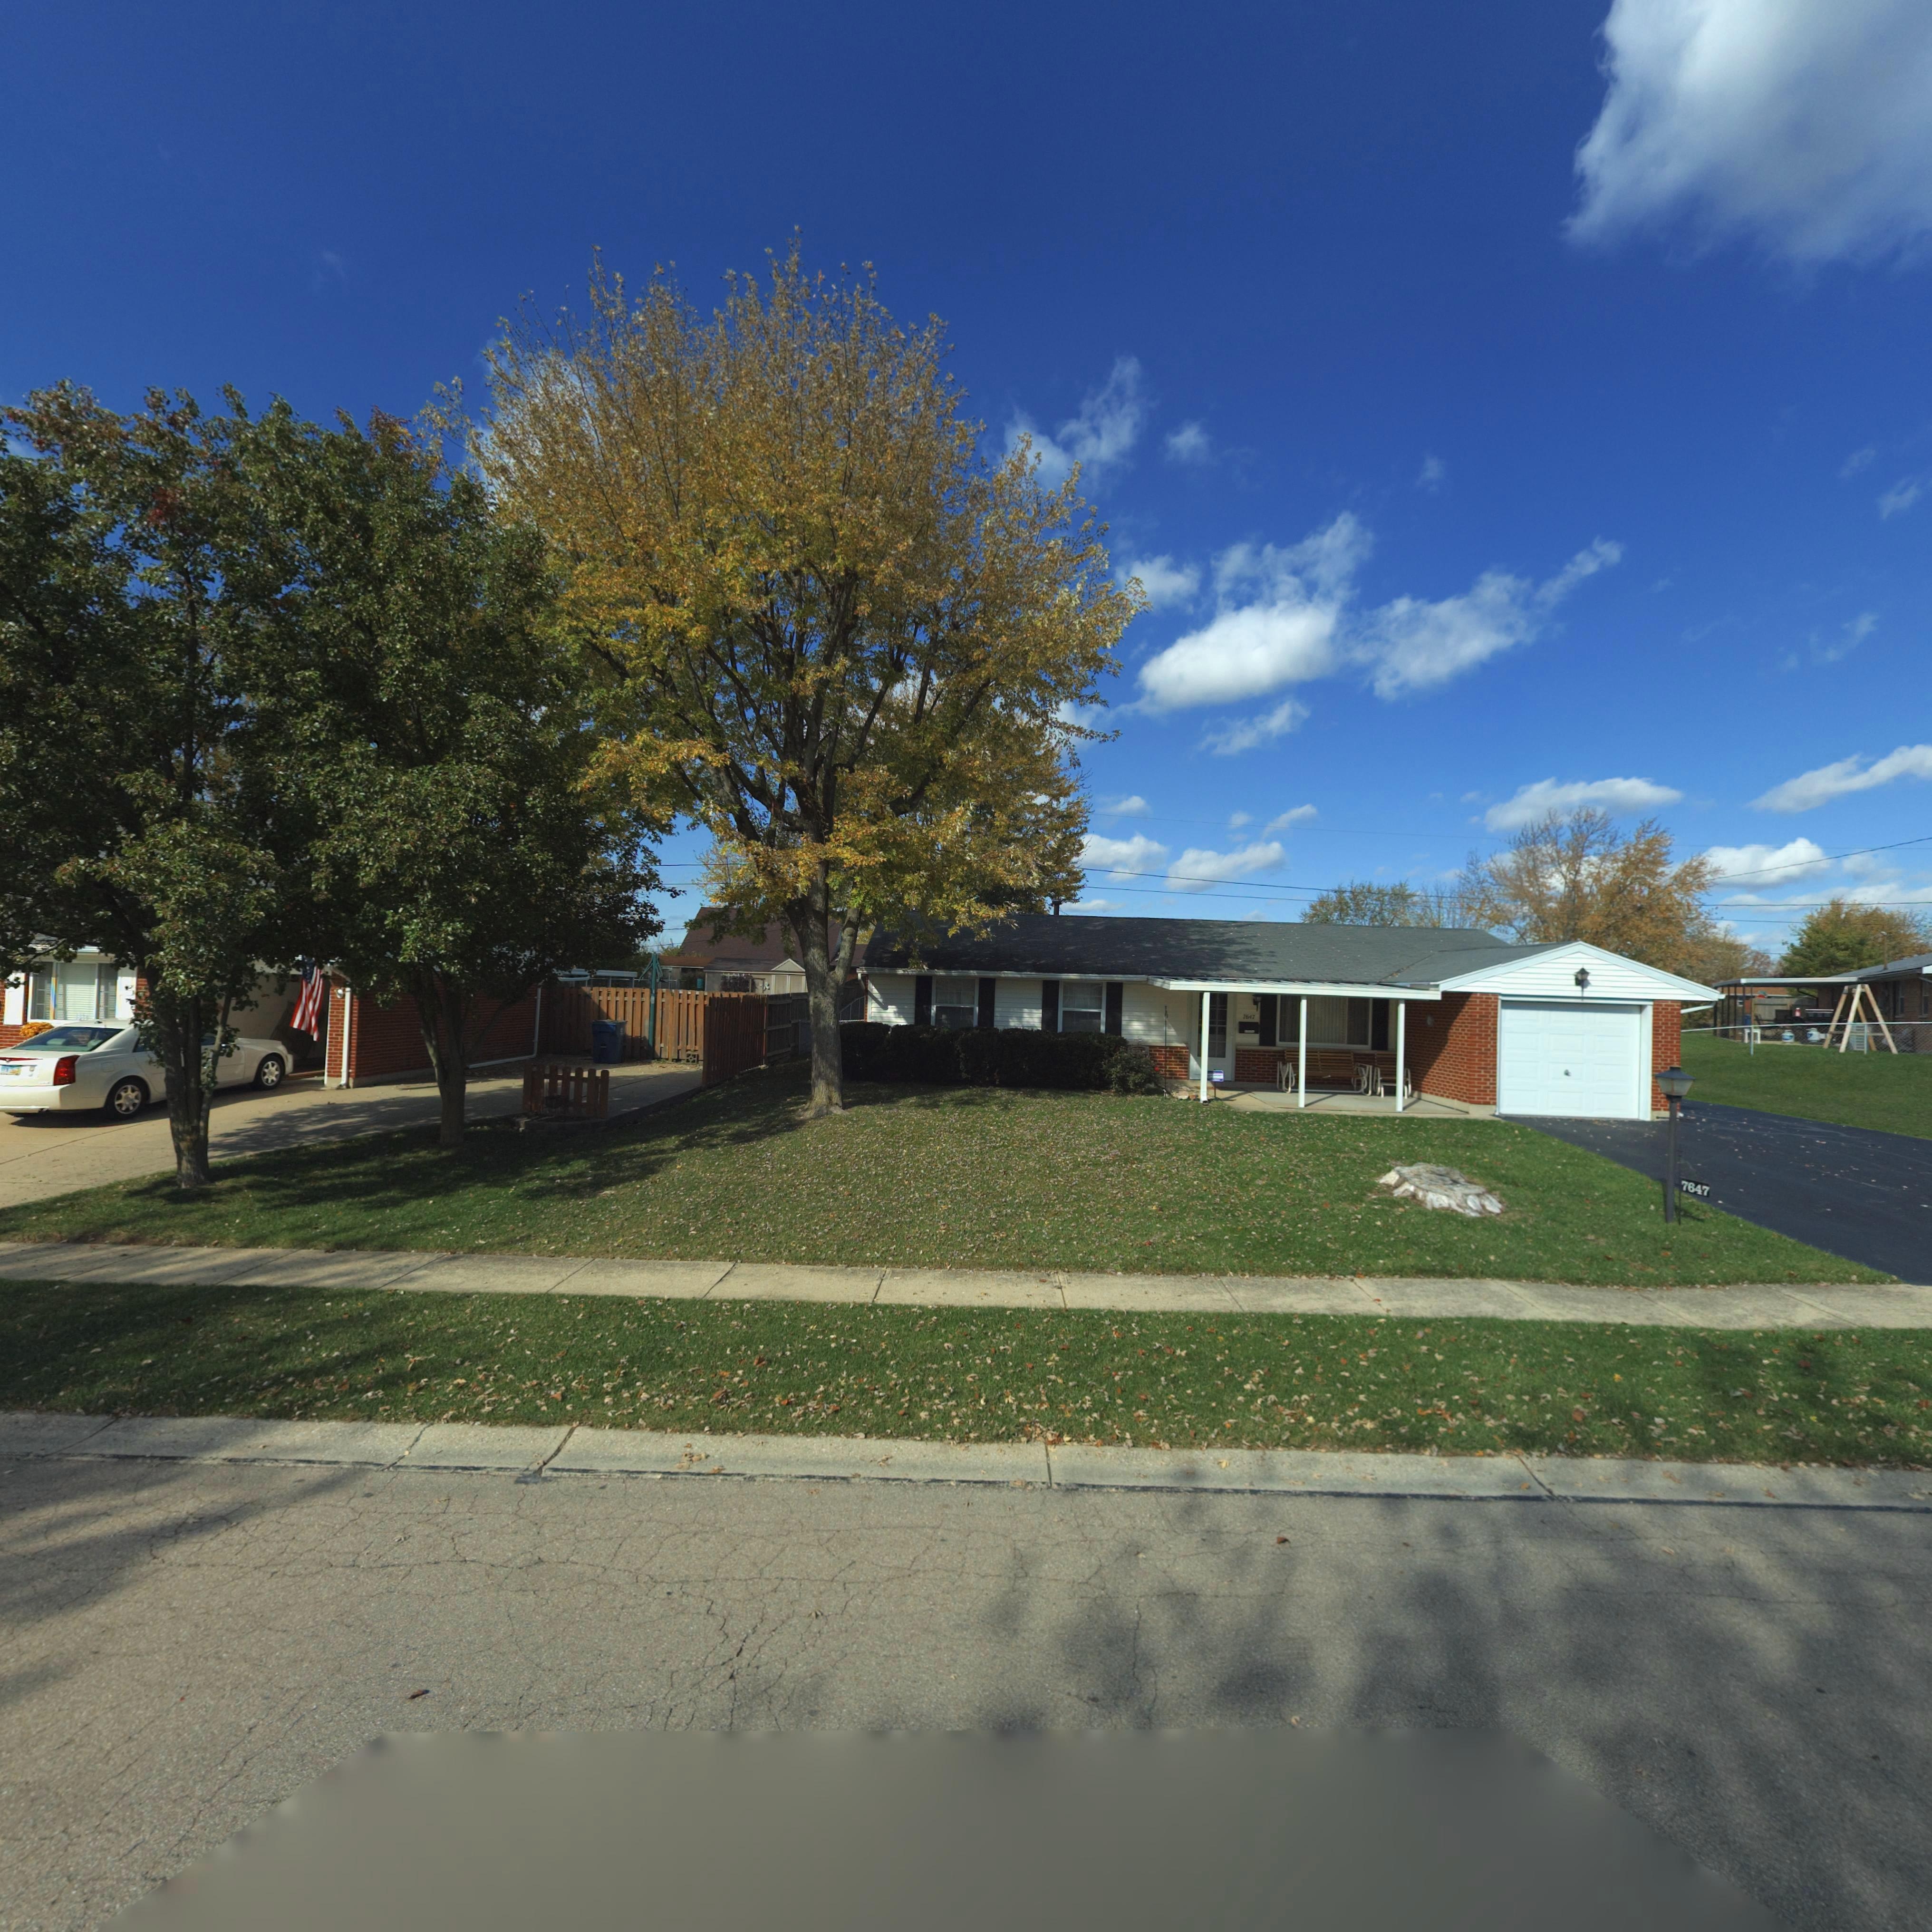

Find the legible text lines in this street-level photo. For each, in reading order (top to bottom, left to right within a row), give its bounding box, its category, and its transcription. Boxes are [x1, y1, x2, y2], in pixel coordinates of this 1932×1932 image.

[1242, 1014, 1256, 1020] StreetNumber: 7647
[1681, 1179, 1711, 1198] StreetNumber: 7647